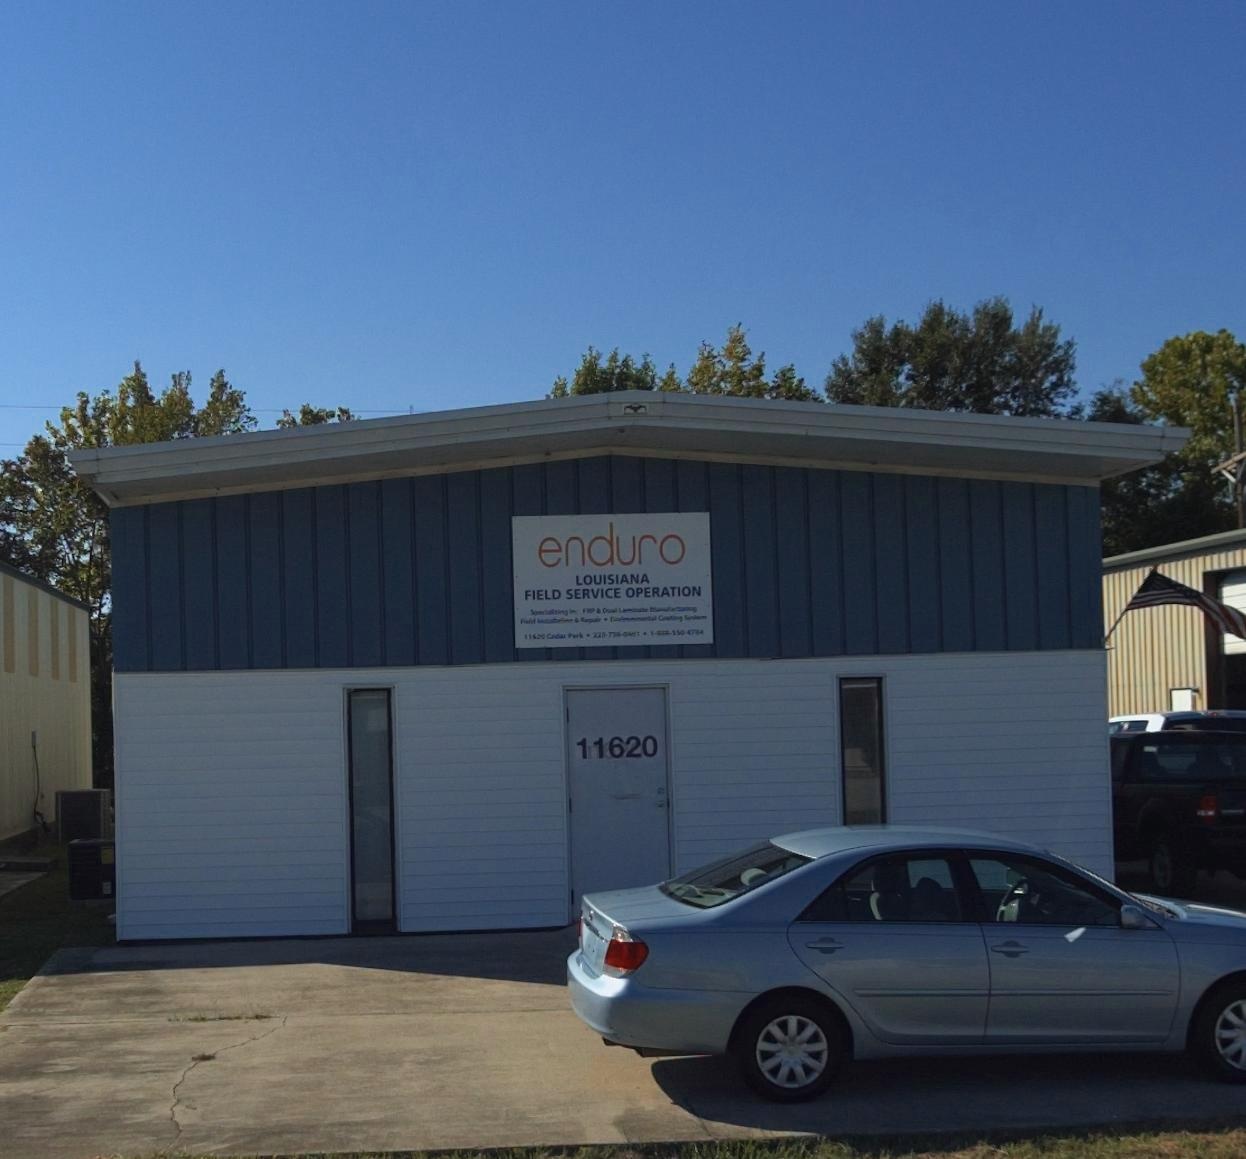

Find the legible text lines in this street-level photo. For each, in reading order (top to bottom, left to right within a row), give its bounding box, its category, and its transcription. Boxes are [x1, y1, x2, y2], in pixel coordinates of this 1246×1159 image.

[535, 518, 689, 570] BusinessName: enduro
[573, 571, 653, 588] None: LOUISIANA
[523, 583, 703, 603] None: FIELD SERVICE OPERATION
[522, 631, 548, 642] StreetNumber: 11620
[574, 731, 661, 762] StreetNumber: 11620